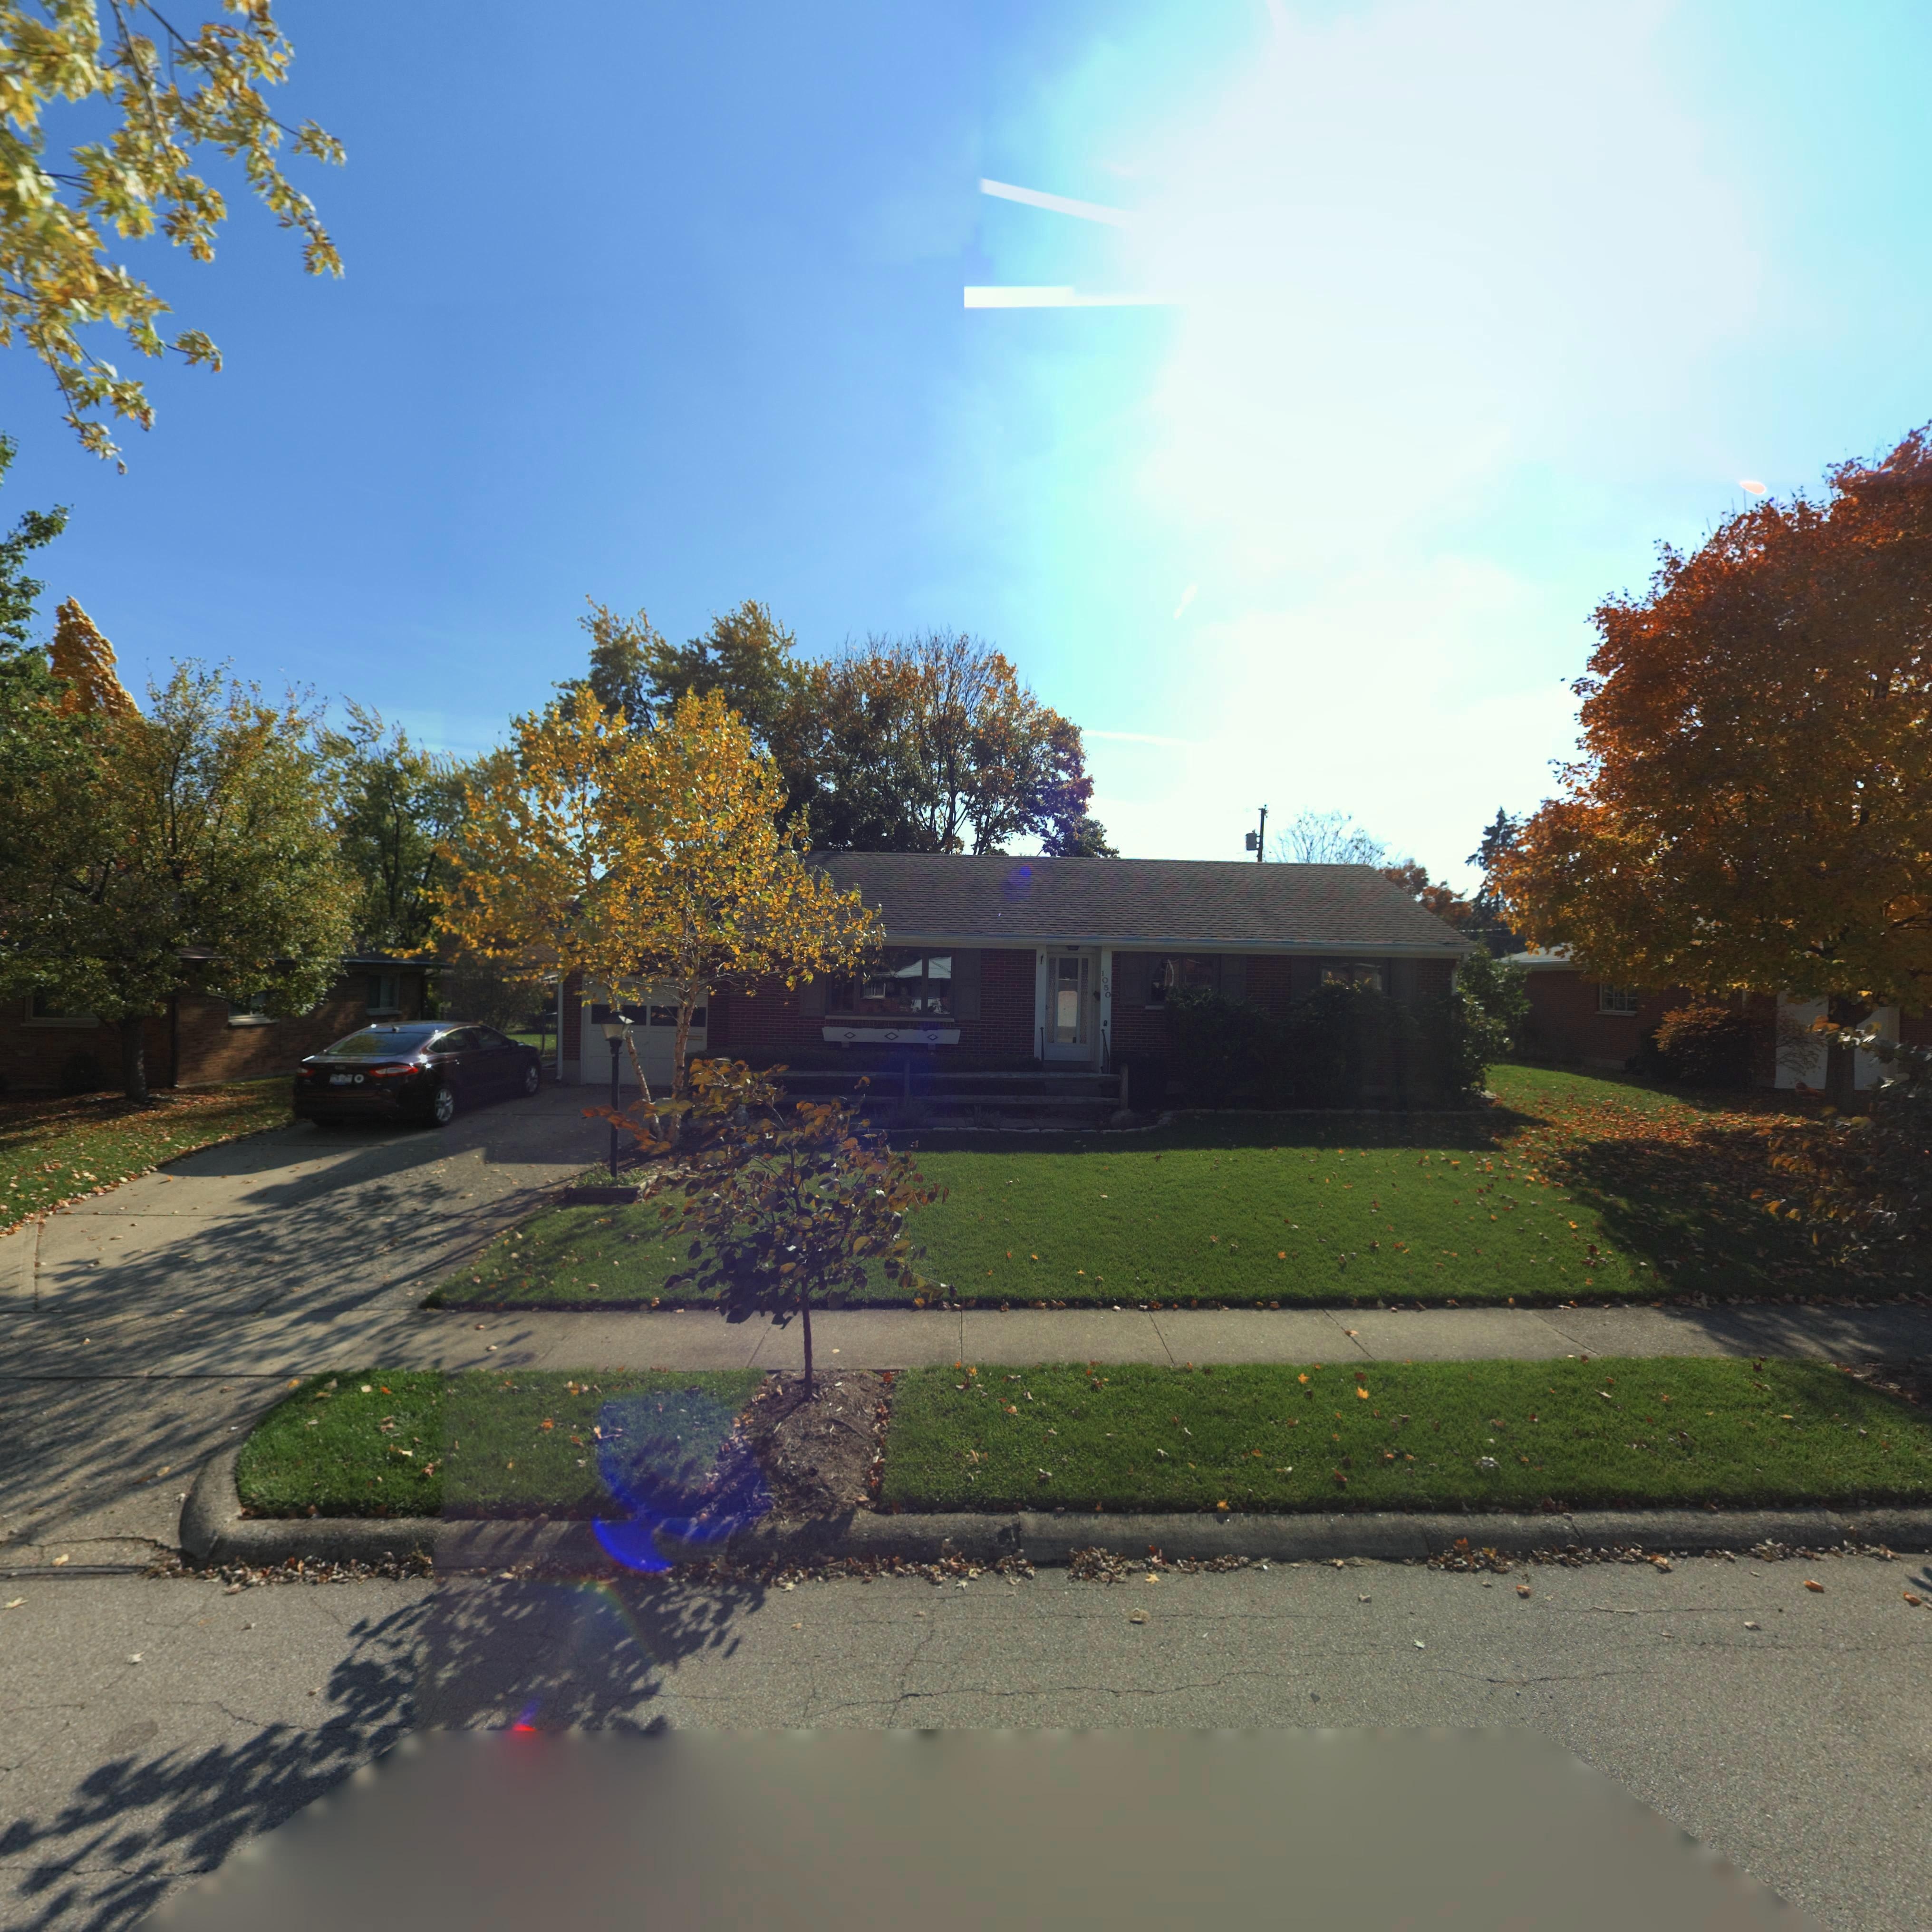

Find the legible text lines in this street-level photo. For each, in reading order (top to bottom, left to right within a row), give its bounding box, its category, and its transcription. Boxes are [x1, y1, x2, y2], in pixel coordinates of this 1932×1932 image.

[634, 976, 643, 982] None: 10
[1101, 969, 1111, 999] StreetNumber: 1050